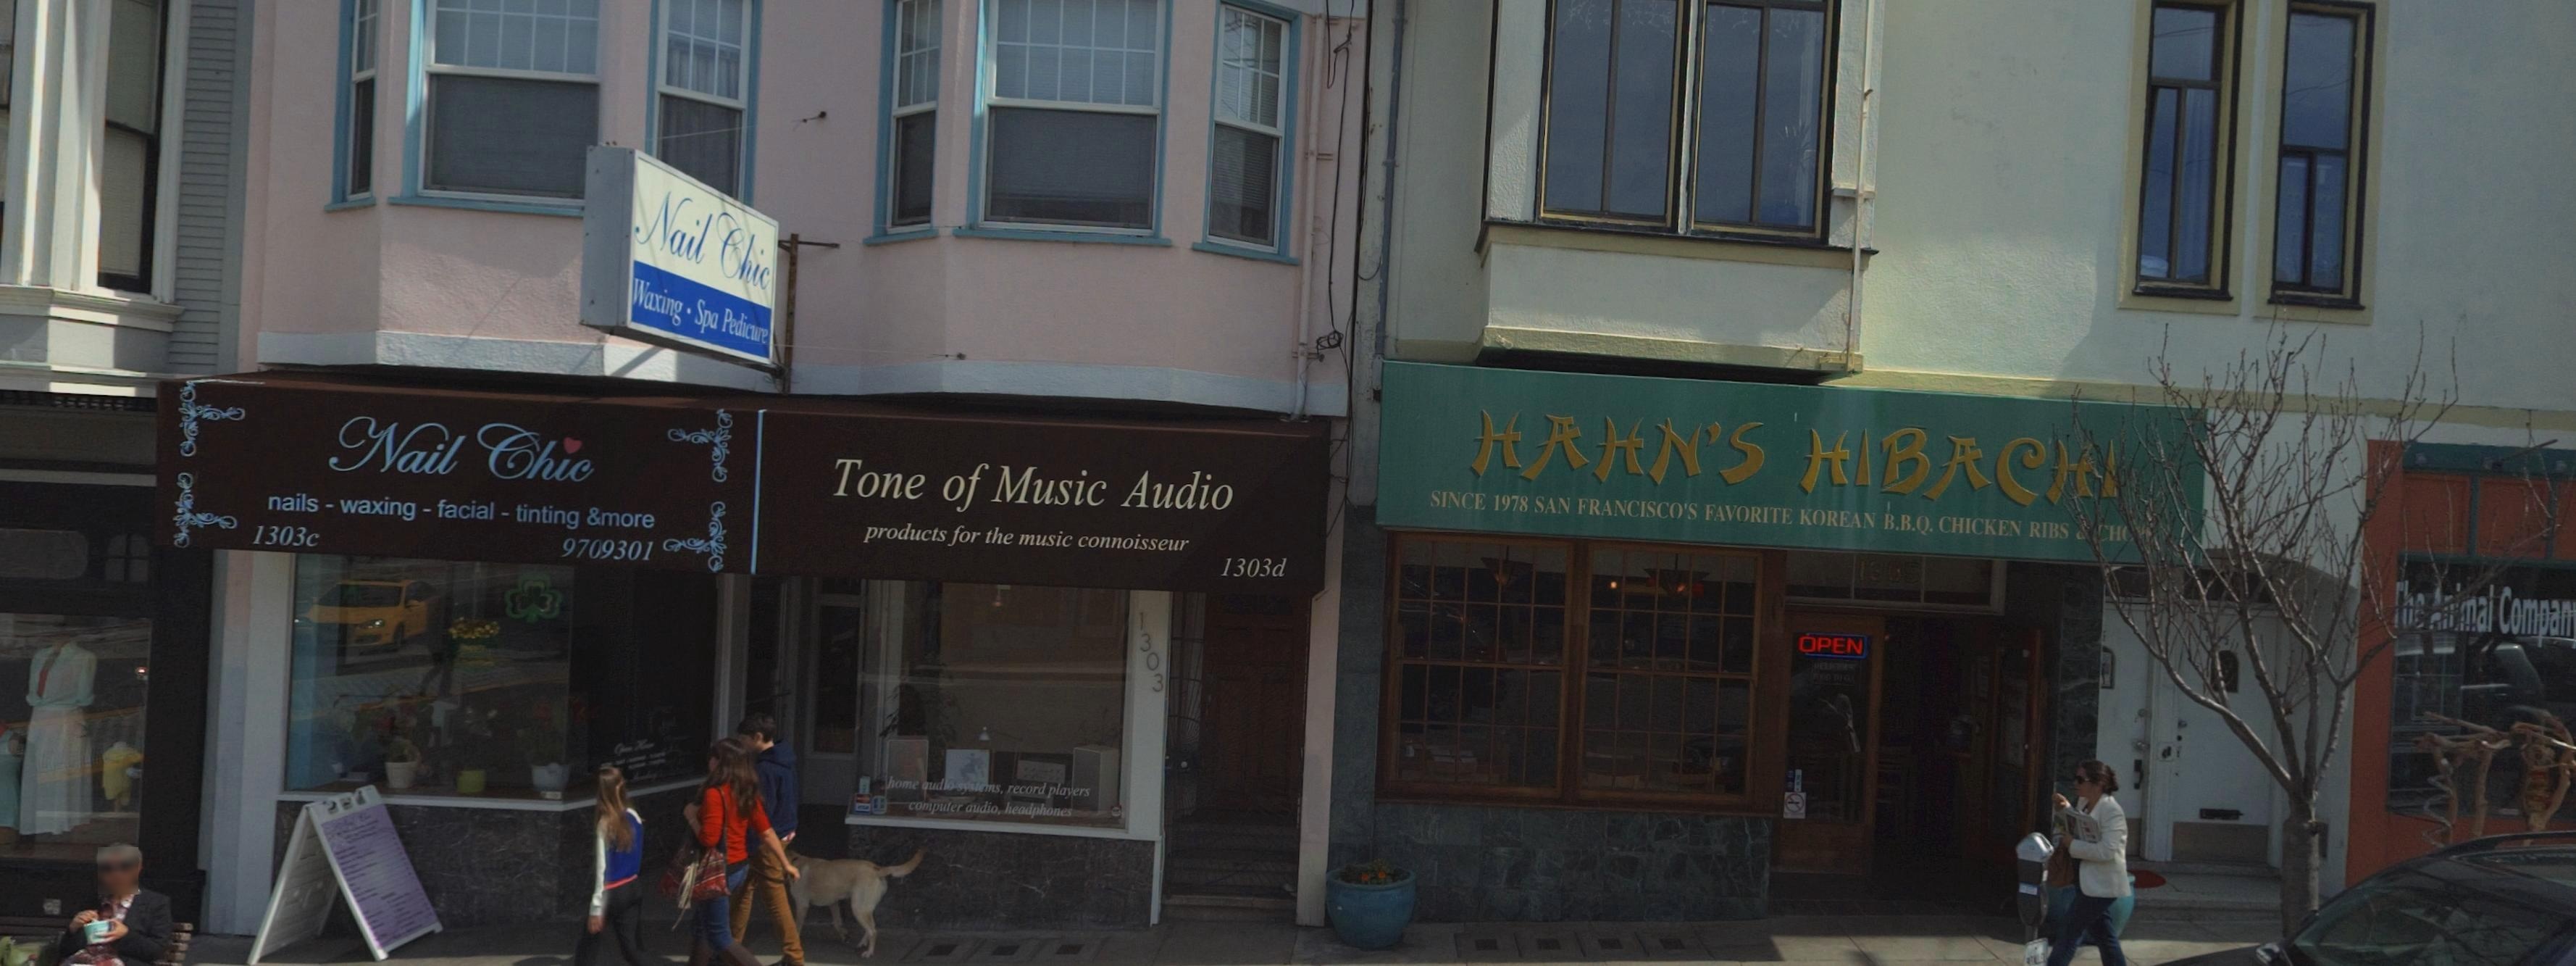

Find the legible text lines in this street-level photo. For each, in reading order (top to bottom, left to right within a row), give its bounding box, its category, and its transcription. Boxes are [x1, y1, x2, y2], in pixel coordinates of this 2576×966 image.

[630, 189, 775, 293] BusinessName: Nail Chic
[632, 276, 770, 346] None: Waxing - Spa Pedicure
[325, 413, 597, 484] BusinessName: Nail Chic
[1466, 407, 2130, 512] BusinessName: HAHN'S HIBACHI
[830, 457, 1235, 515] BusinessName: Tone of Music Audio
[248, 524, 323, 551] StreetNumber: 1303c
[264, 491, 656, 538] None: nails - waxing - facial - tinting &more
[559, 536, 658, 567] None: 9709301
[862, 521, 1192, 554] None: products for the music connoisseur
[1219, 554, 1292, 580] StreetNumber: 1303d
[1429, 488, 2123, 545] None: SINCE 1978 SAN FRANCISCO'S FAVORITE KOREAN B.B.Q. CHICKEN RIBS *H
[1854, 554, 1924, 589] StreetNumber: 1305
[2476, 582, 2573, 649] BusinessName: al Compan
[1133, 608, 1166, 694] StreetNumber: 1303
[1795, 635, 1865, 657] None: OPEN
[1829, 672, 1860, 686] None: TO GO
[884, 773, 1092, 800] None: home audio systems, record players
[907, 799, 1075, 820] None: computer audio, headphones